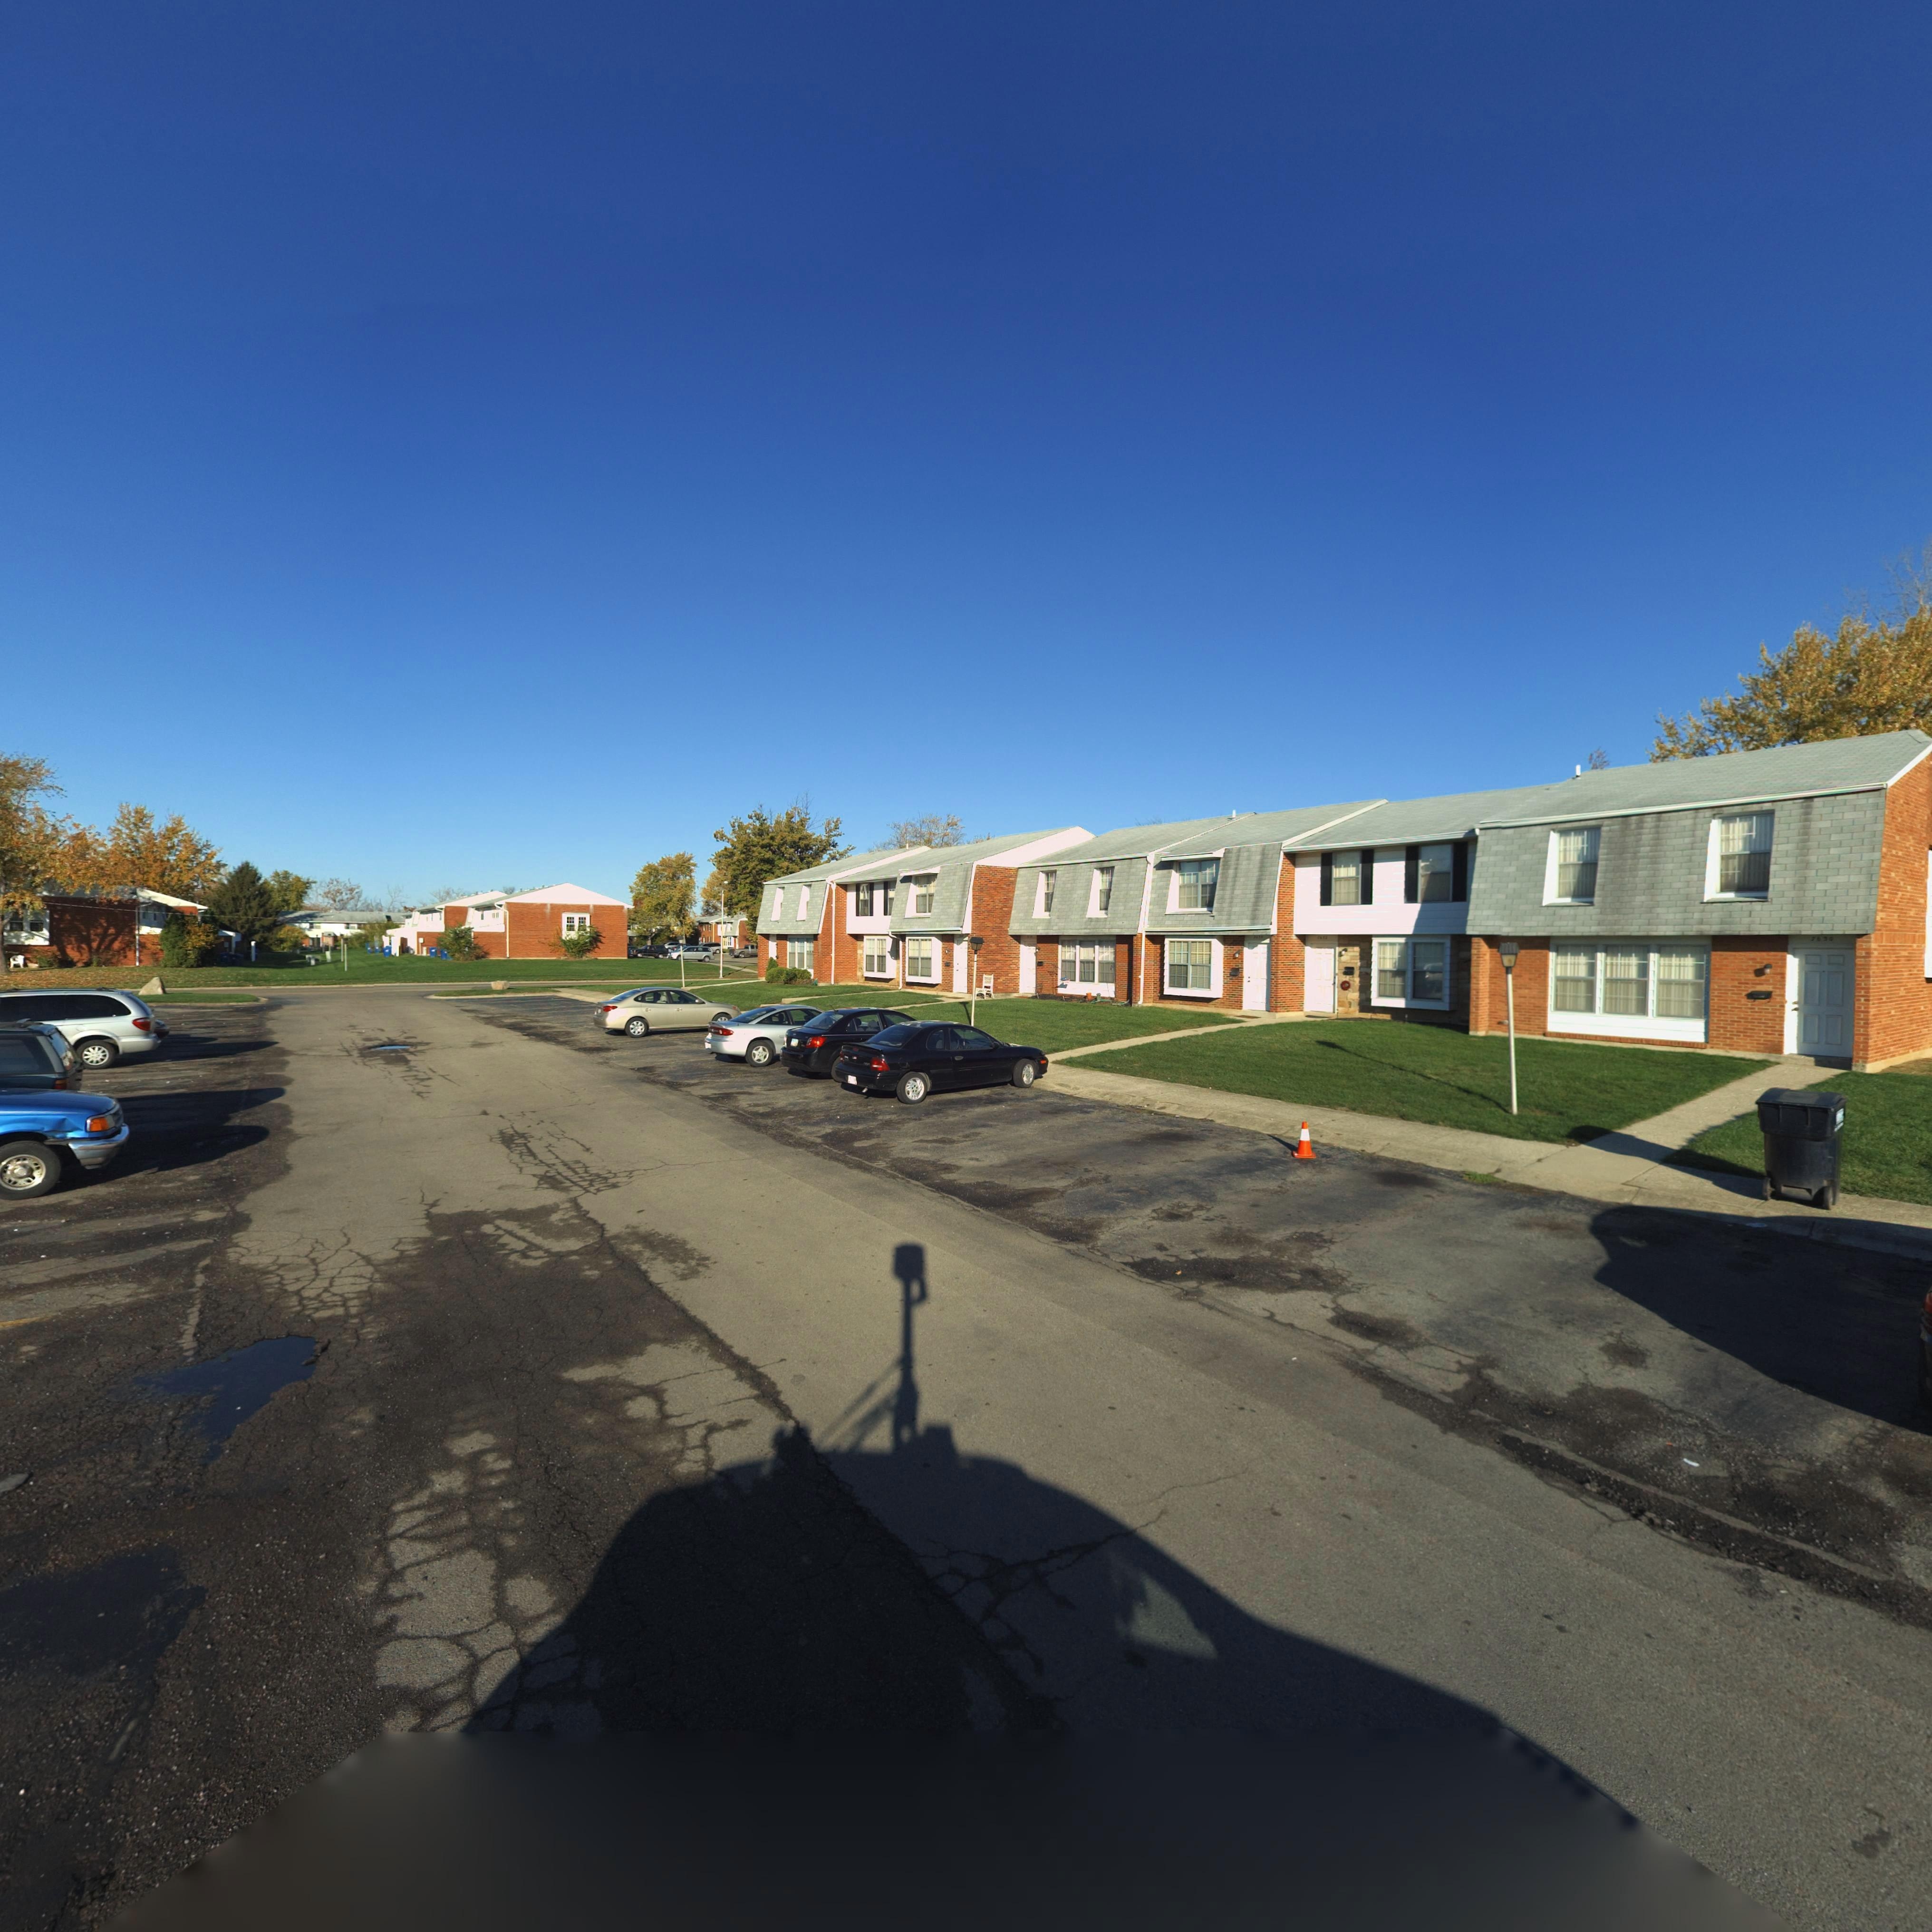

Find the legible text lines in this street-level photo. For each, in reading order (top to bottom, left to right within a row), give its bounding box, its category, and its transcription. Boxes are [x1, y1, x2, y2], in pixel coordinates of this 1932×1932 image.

[1026, 935, 1033, 938] StreetNumber: 76**
[1253, 935, 1264, 939] StreetNumber: 7634
[1316, 935, 1328, 939] StreetNumber: 7632
[1810, 936, 1835, 942] StreetNumber: 7530